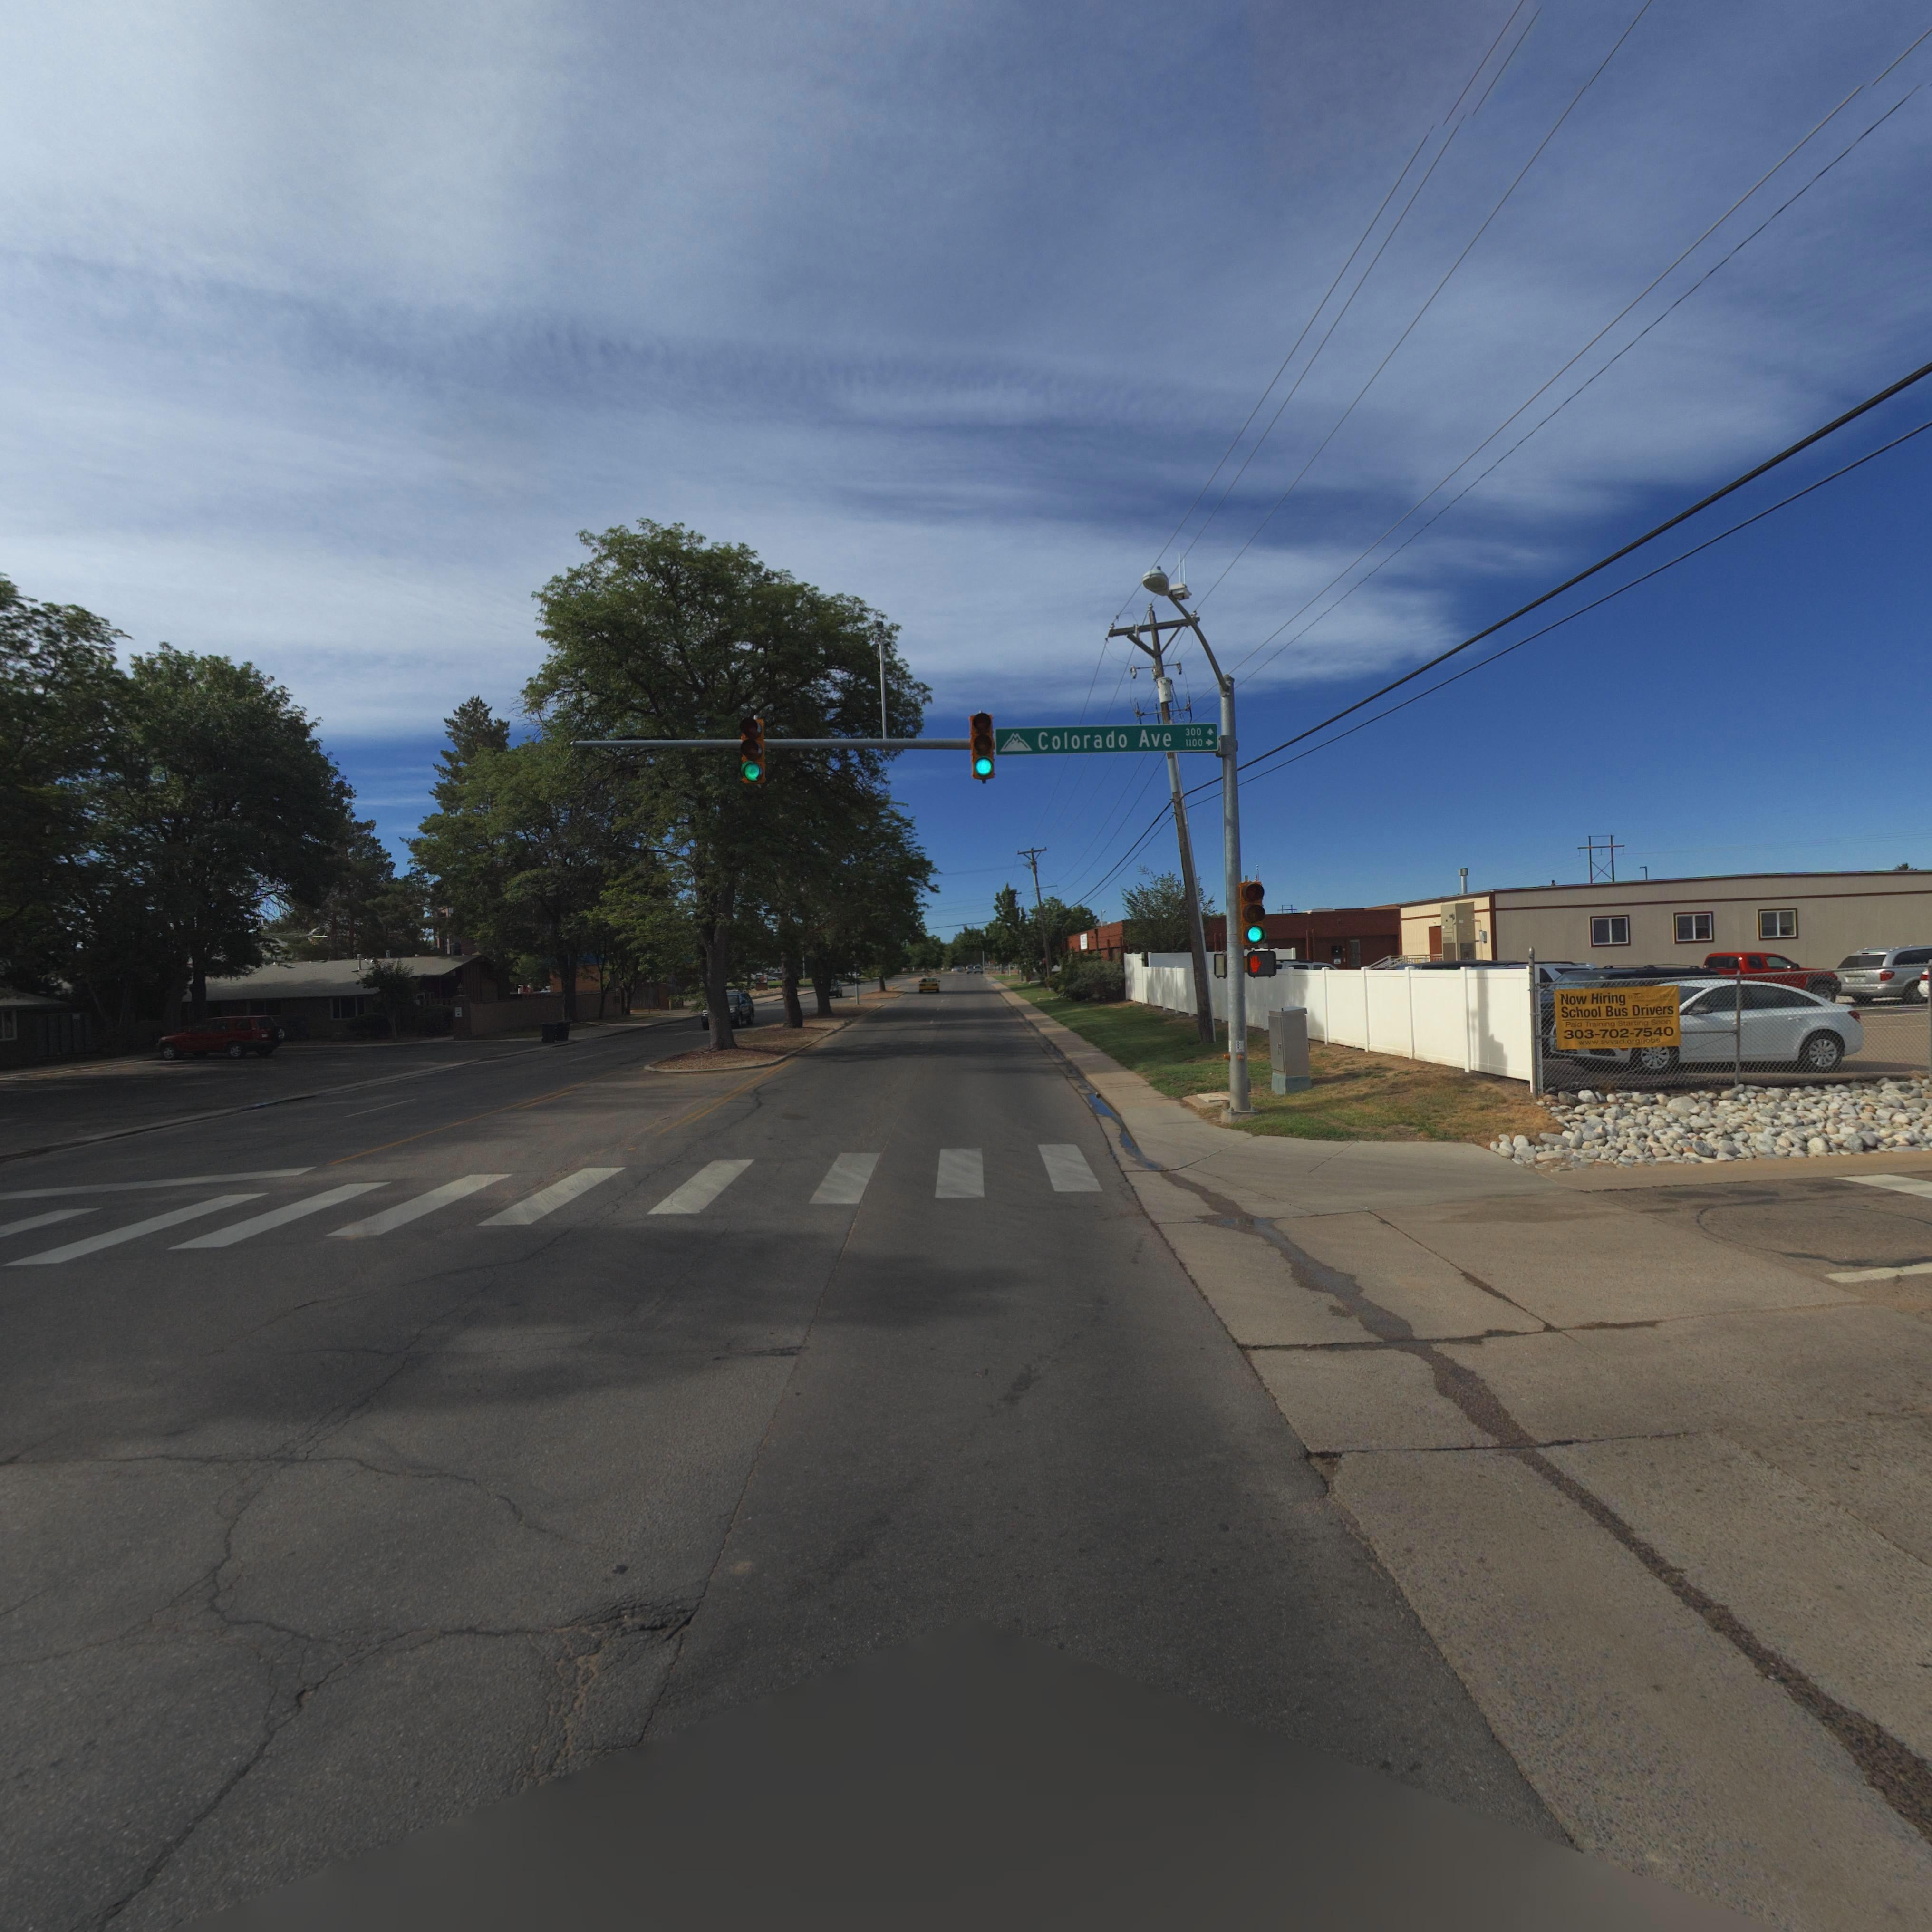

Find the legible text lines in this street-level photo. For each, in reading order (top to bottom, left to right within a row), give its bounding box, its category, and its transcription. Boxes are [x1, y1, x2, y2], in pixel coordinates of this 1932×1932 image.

[1185, 727, 1201, 736] StreetNumber: 300
[1037, 728, 1174, 752] StreetName: Colorado Ave
[1185, 738, 1214, 747] StreetNumberRange: 1100->